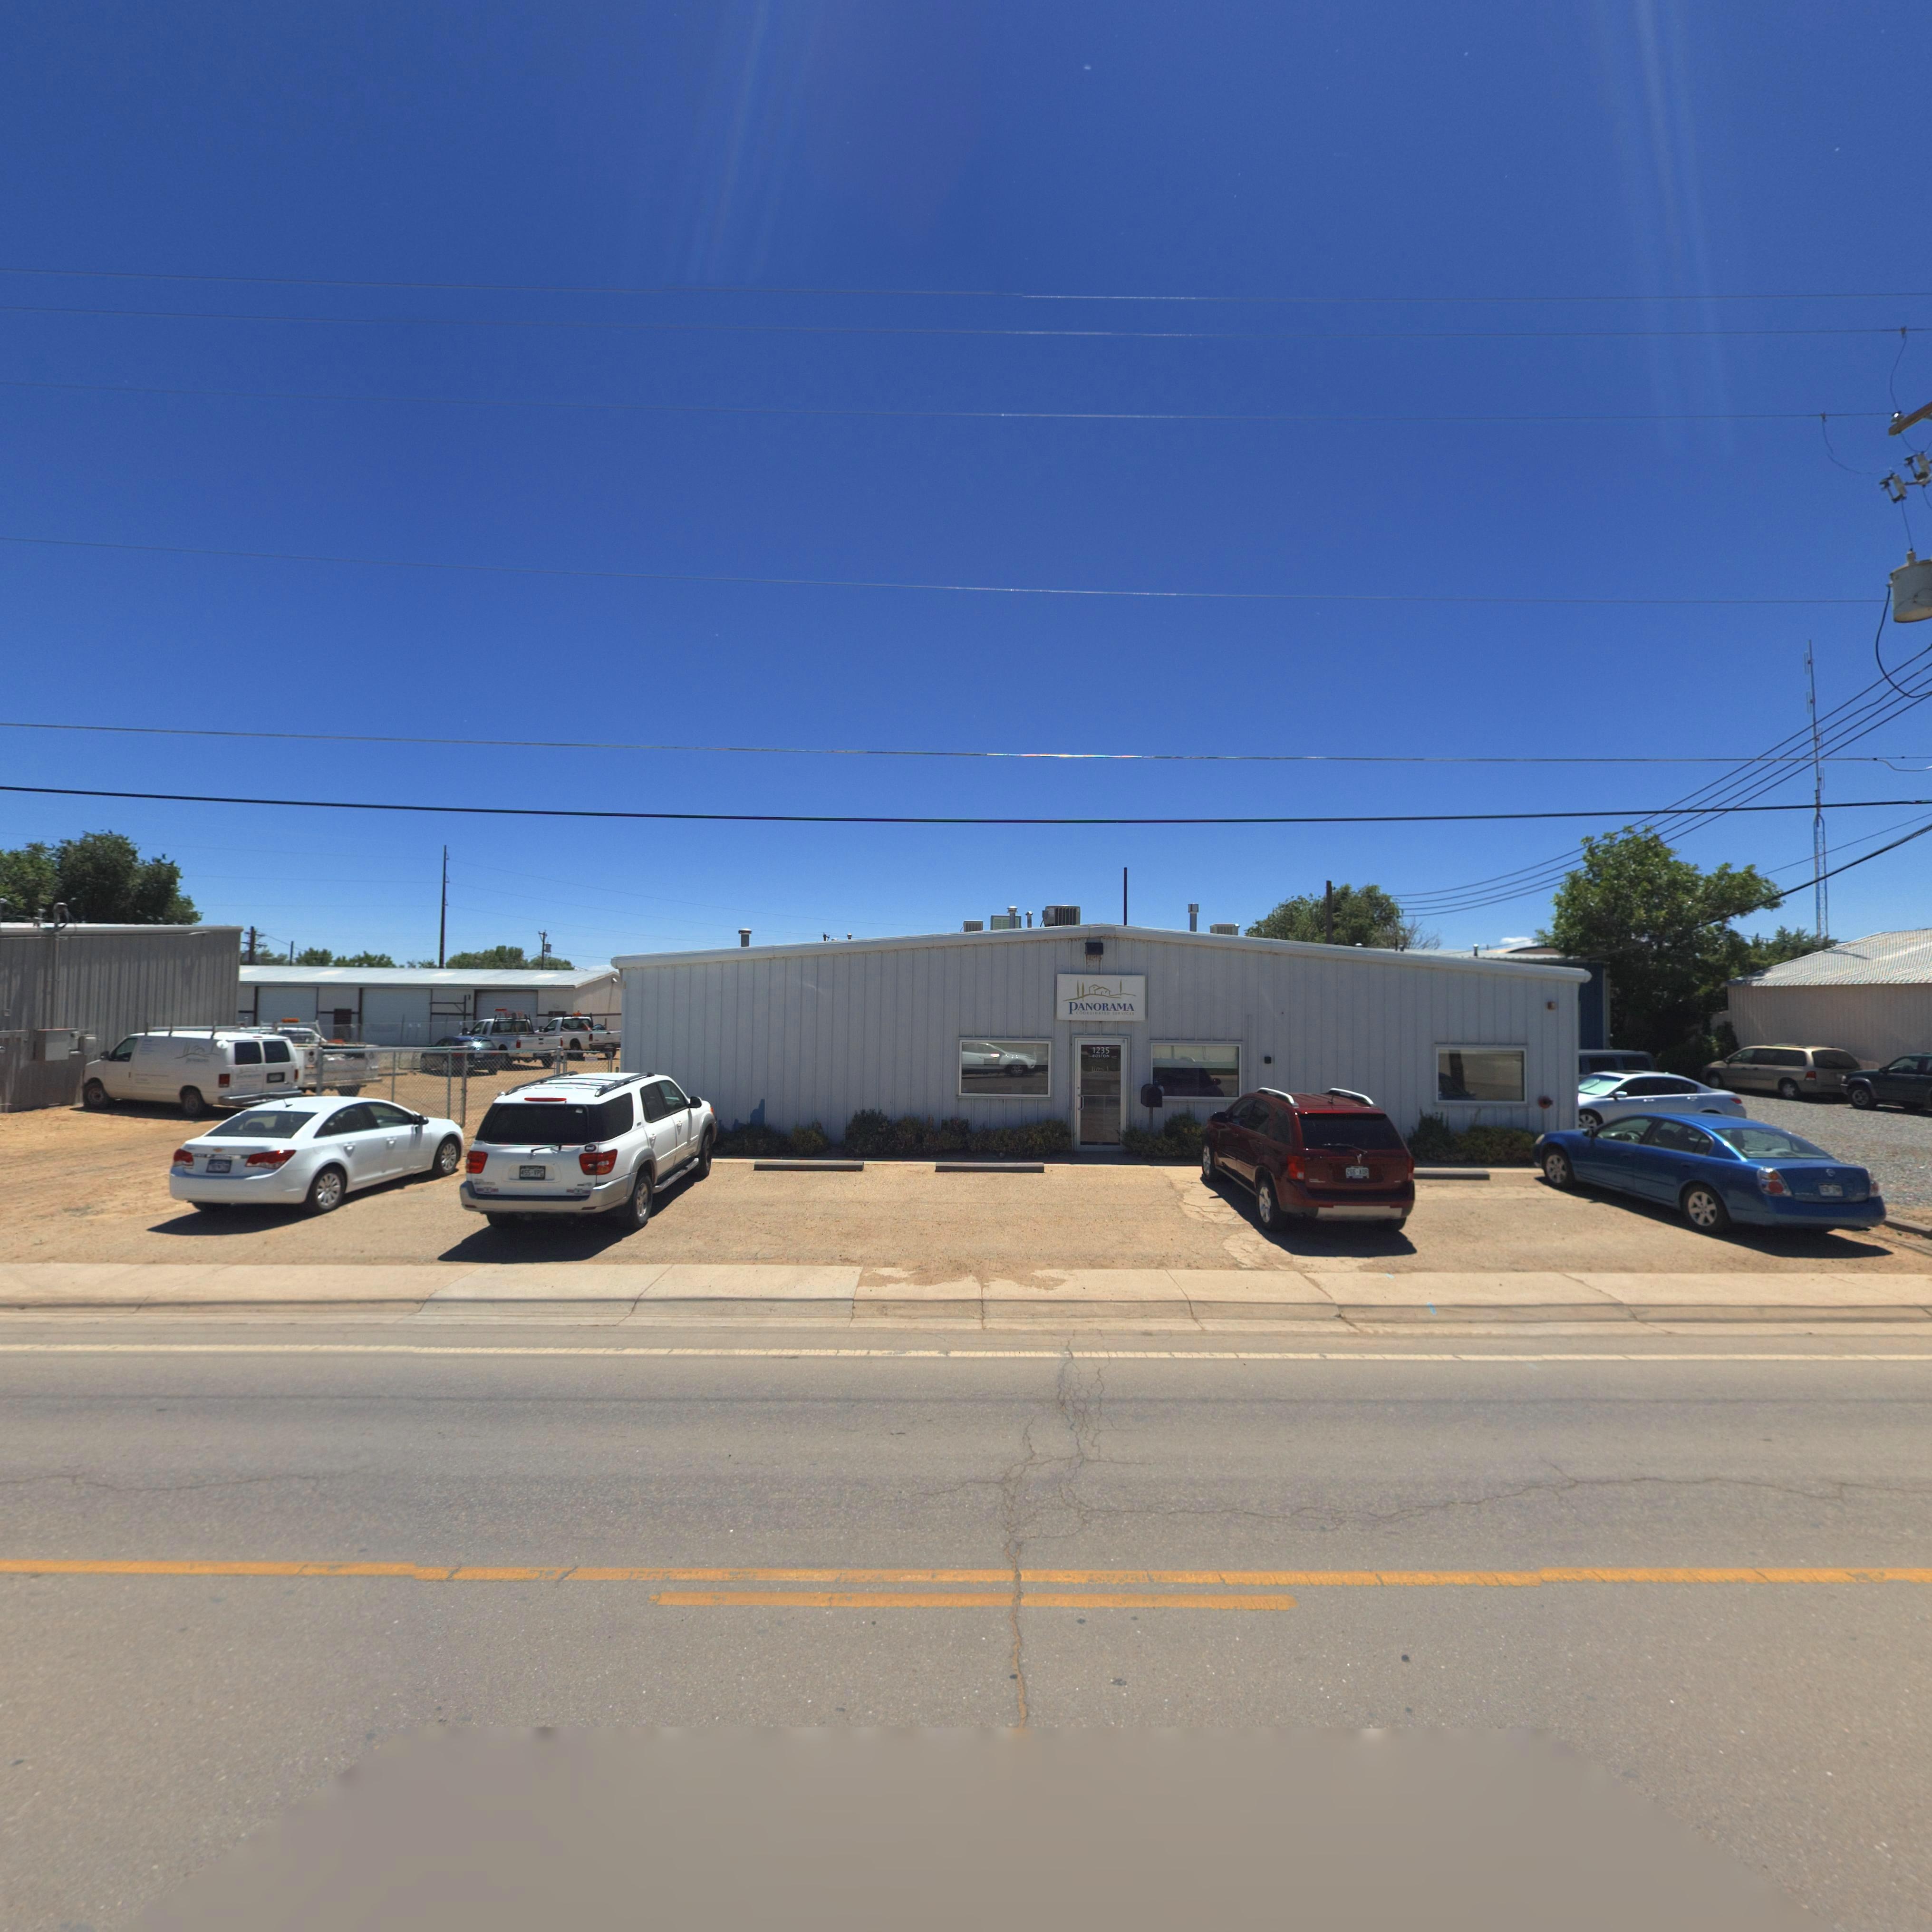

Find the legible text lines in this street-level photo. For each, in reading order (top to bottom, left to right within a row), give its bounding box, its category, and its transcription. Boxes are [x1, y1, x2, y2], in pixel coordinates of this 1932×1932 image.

[1068, 1001, 1135, 1014] BusinessName: PANORAMA
[1092, 1046, 1110, 1054] StreetNumber: 1235
[1092, 1053, 1110, 1058] StreetName: BOSTON